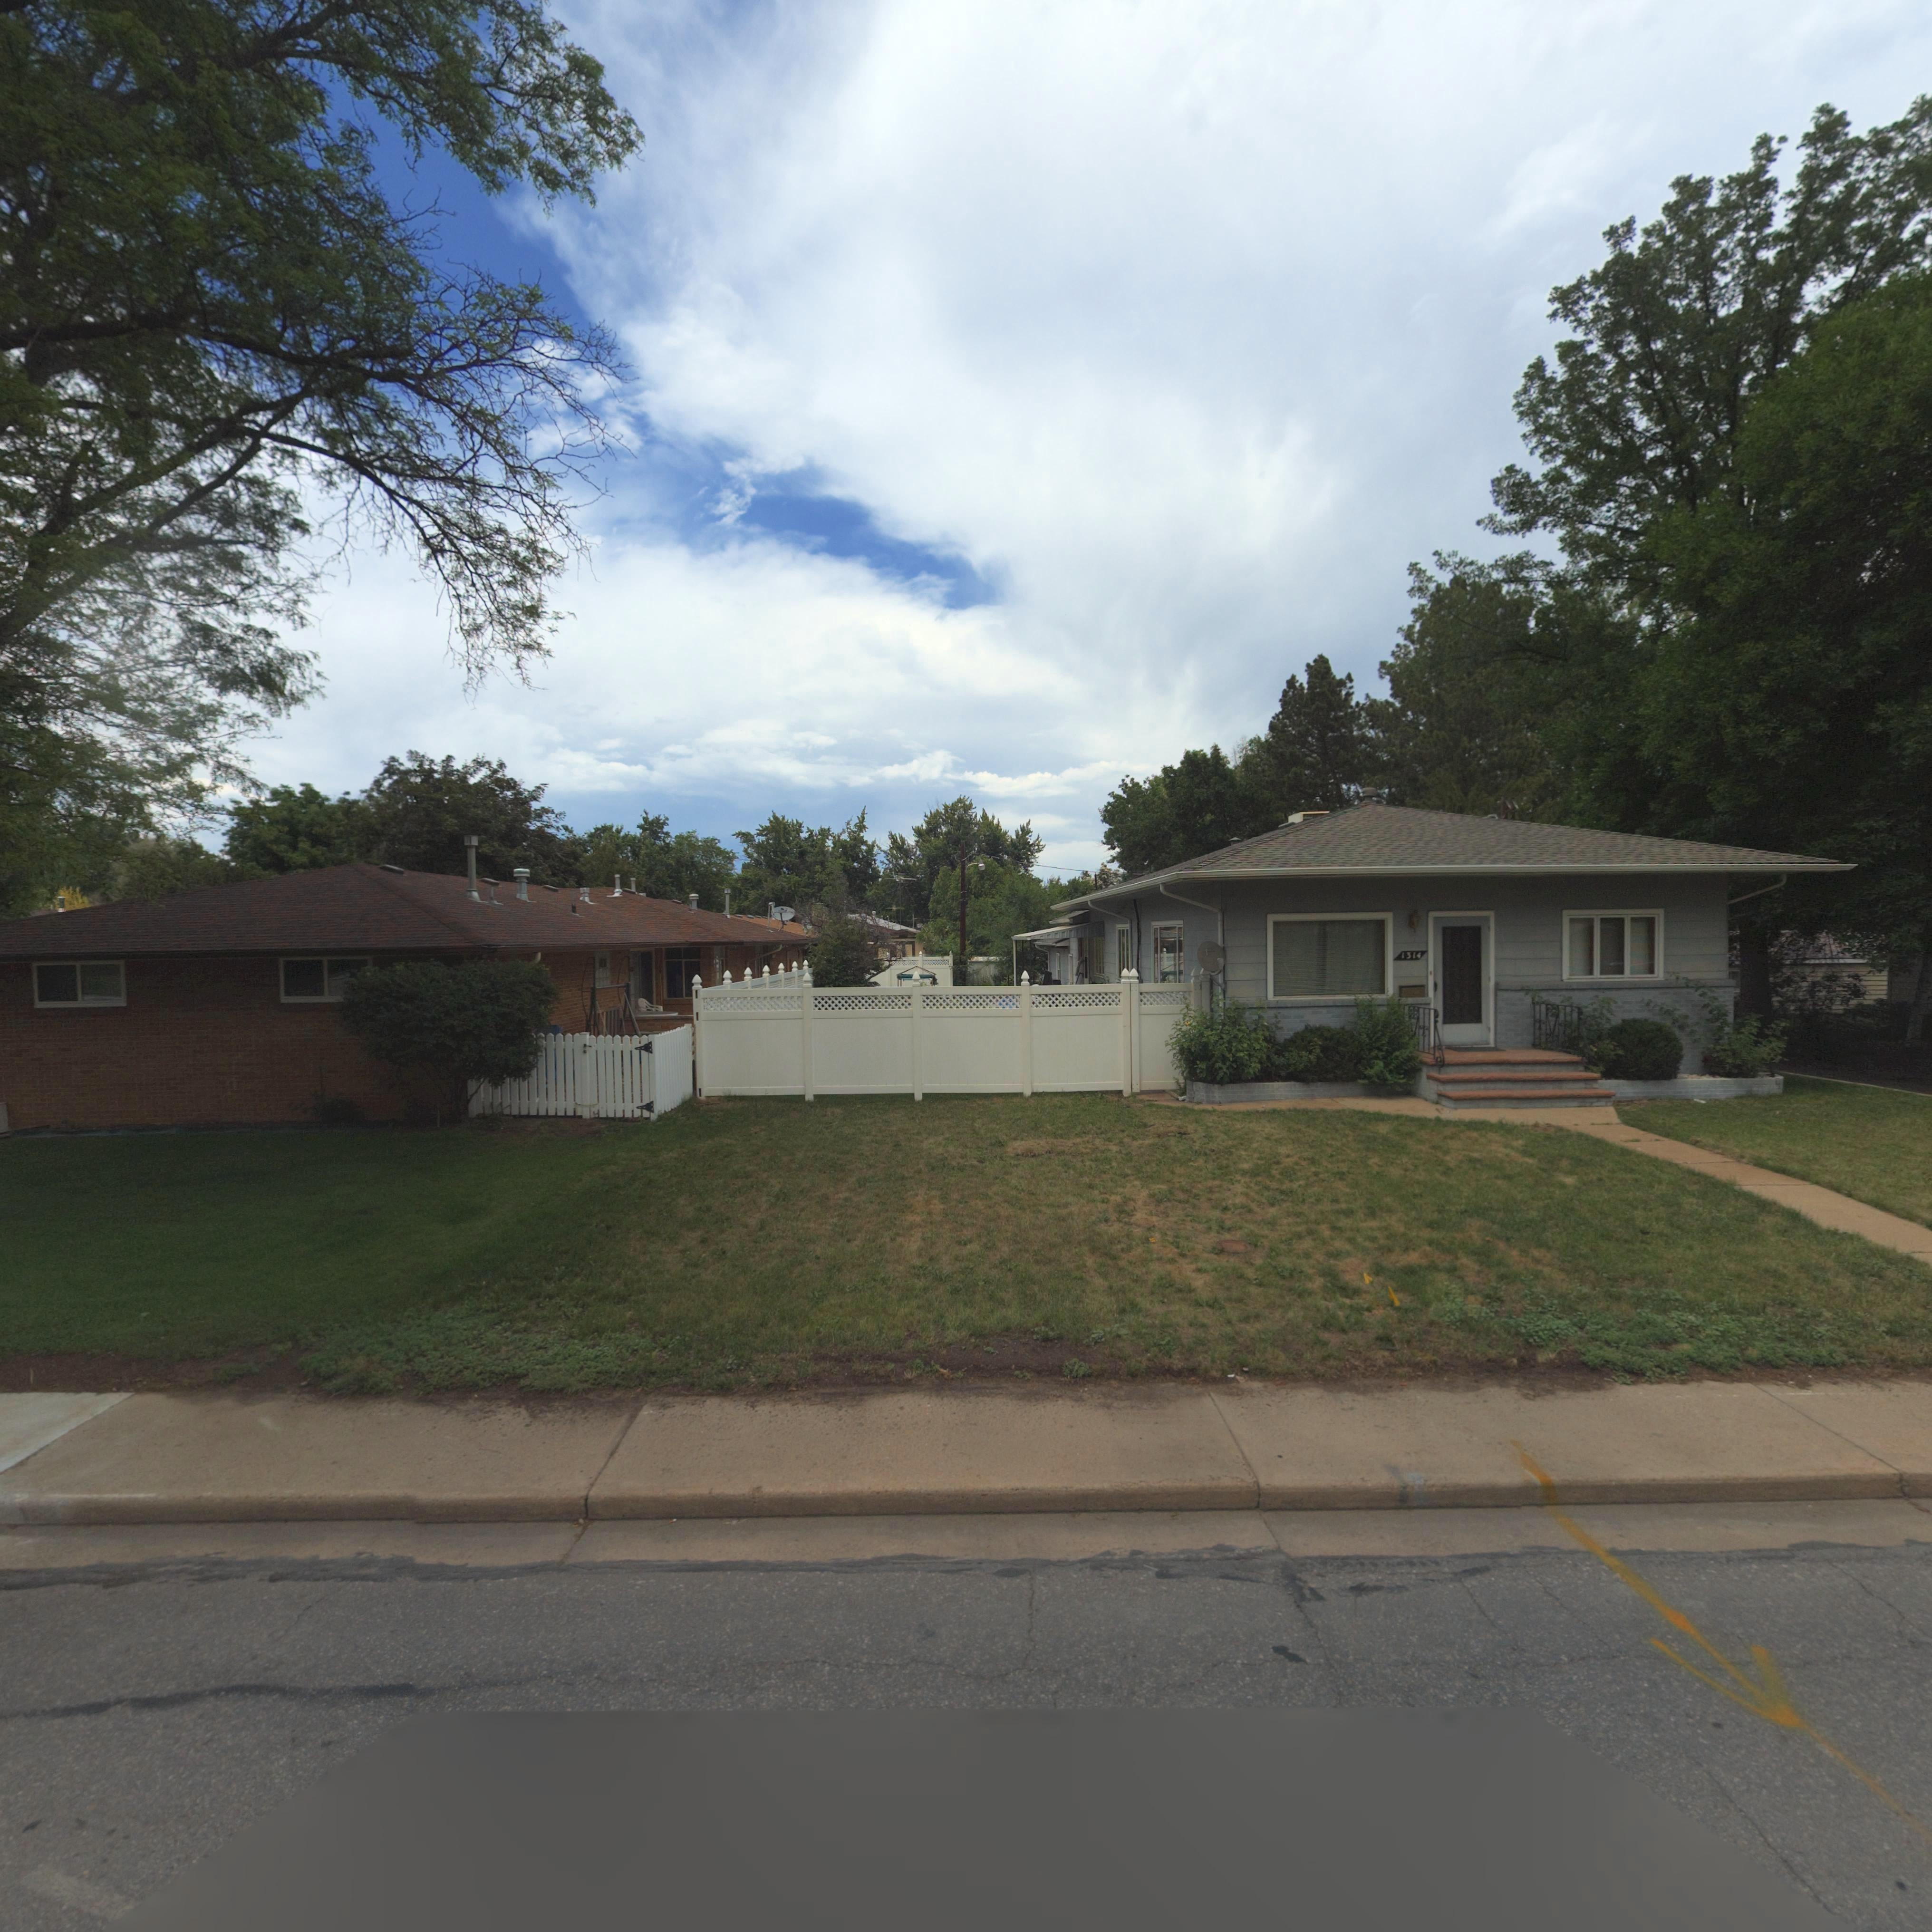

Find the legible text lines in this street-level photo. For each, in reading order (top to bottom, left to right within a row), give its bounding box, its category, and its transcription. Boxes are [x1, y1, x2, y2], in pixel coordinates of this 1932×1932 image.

[1401, 952, 1421, 959] StreetNumber: 1314